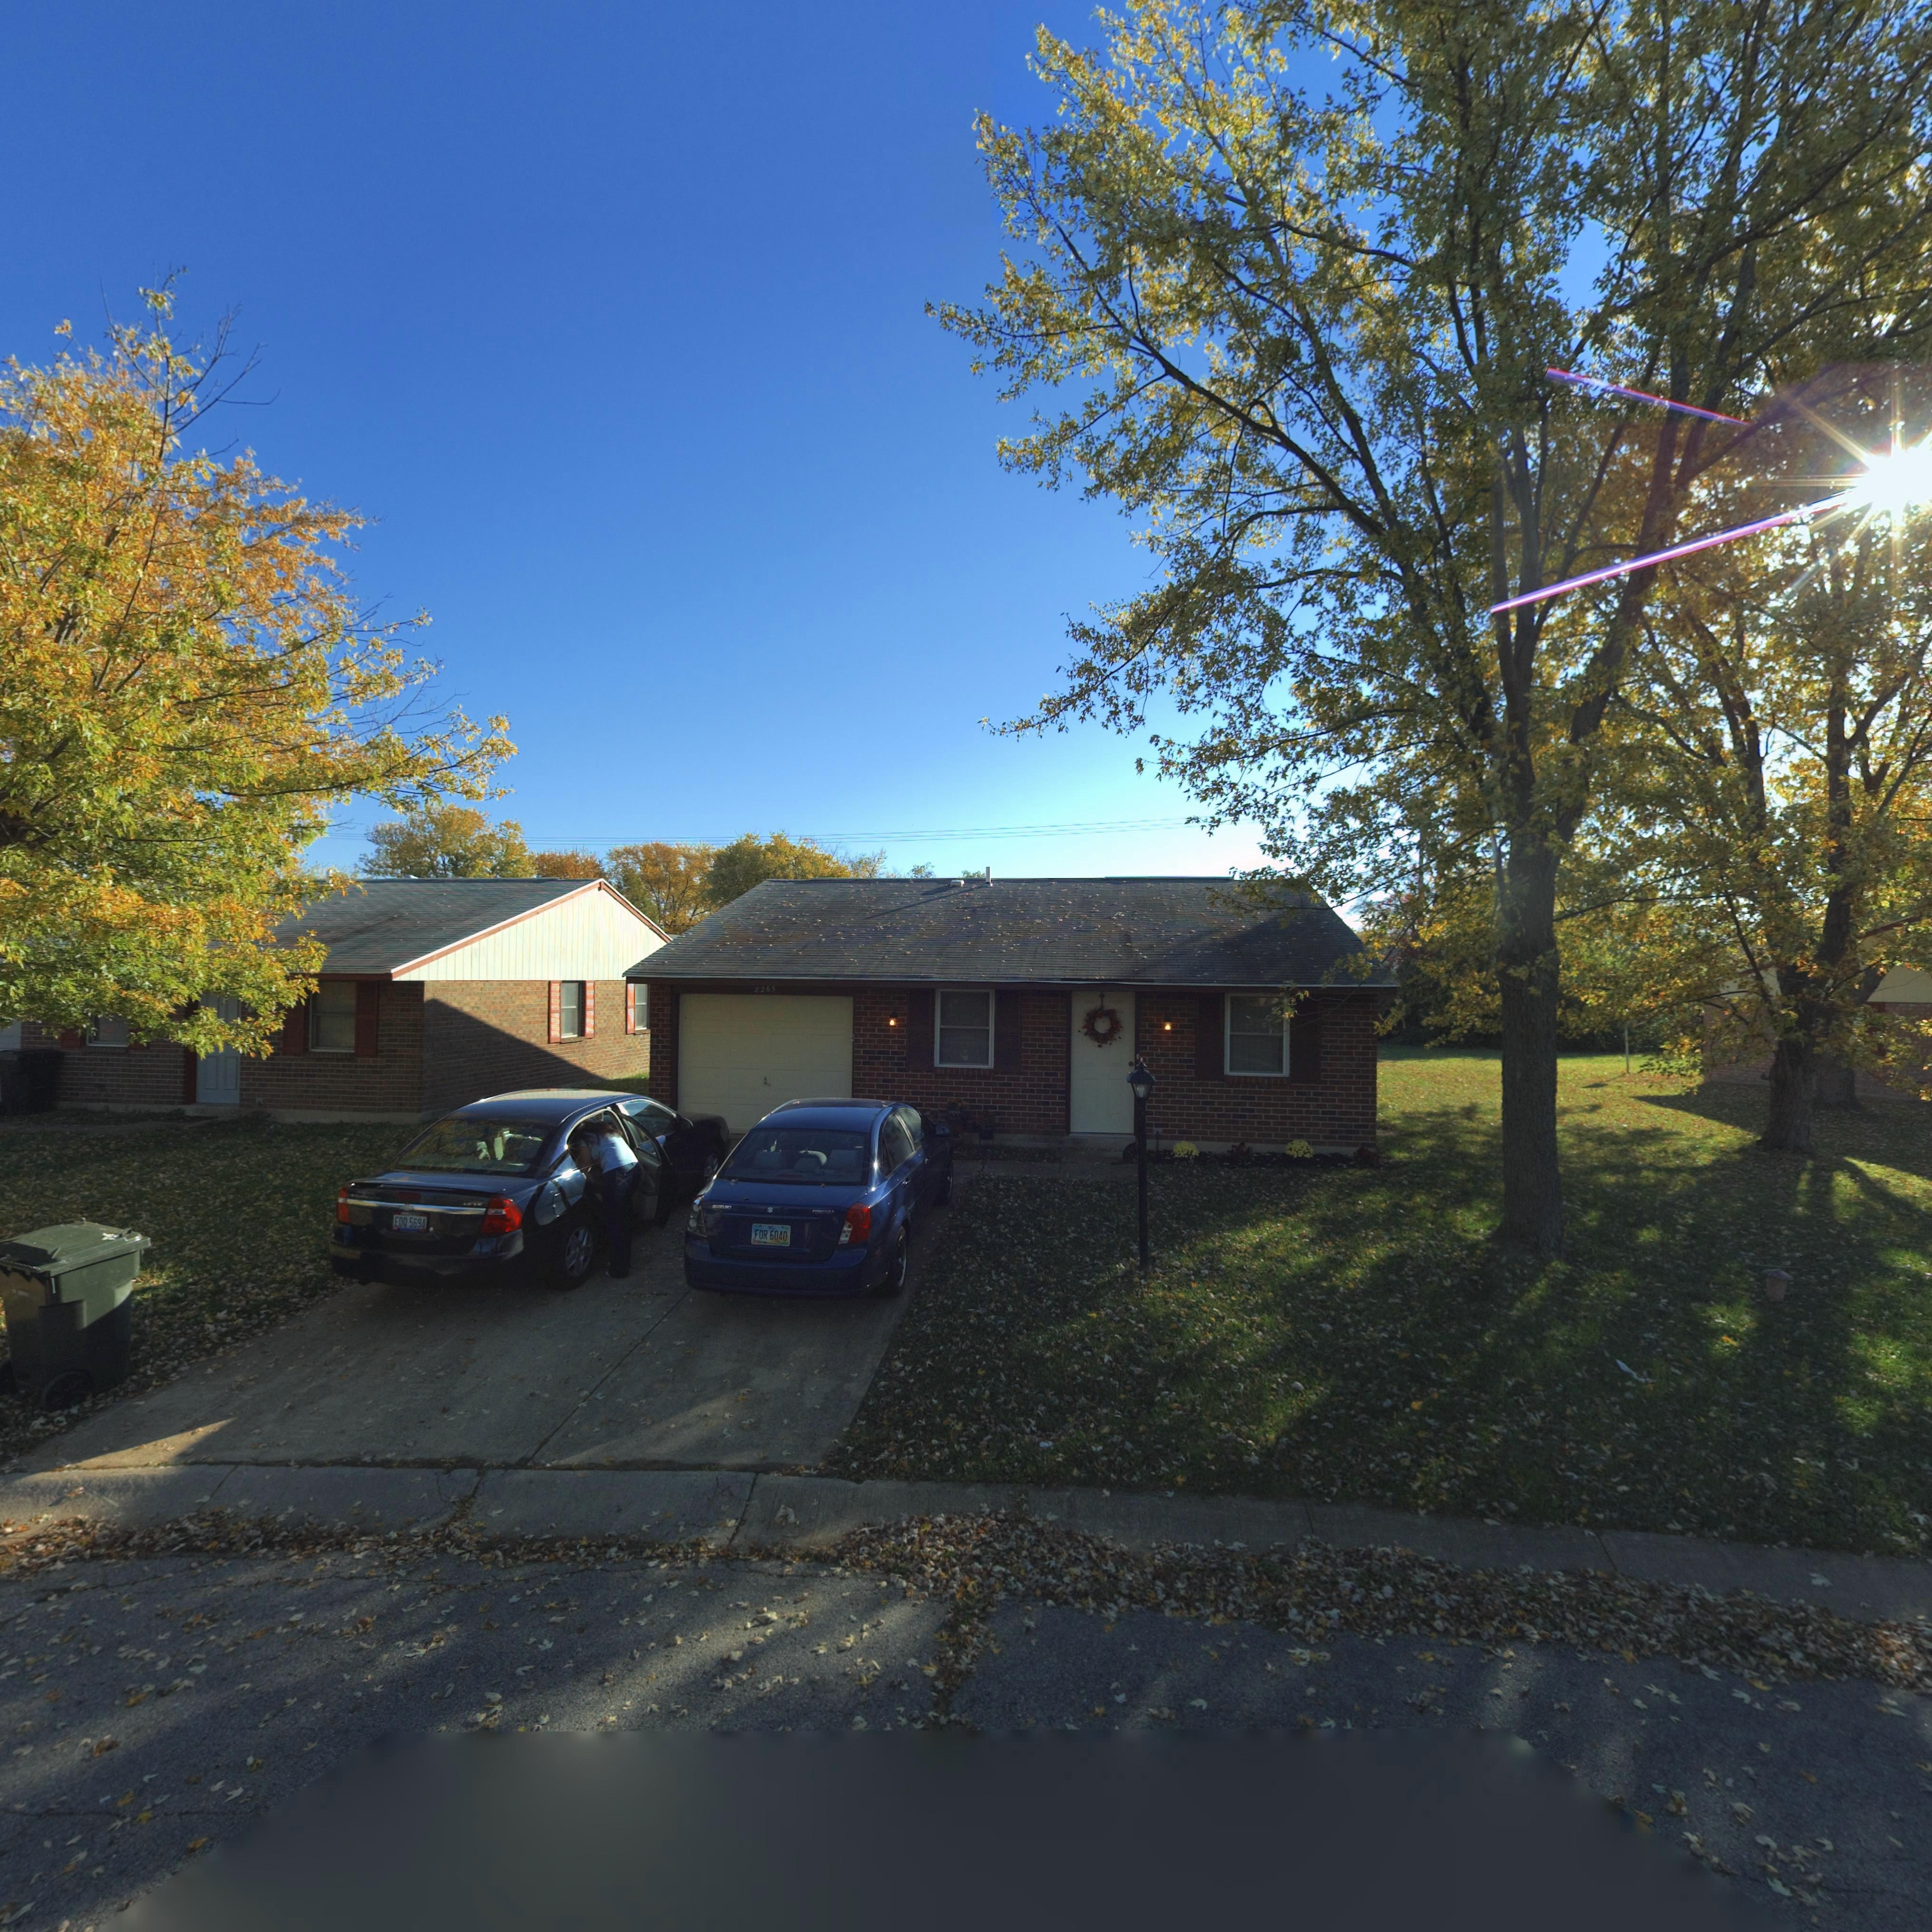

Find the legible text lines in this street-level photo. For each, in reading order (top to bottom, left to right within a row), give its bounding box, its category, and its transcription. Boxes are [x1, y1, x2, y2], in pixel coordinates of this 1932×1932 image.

[753, 985, 776, 993] StreetNumber: 8265